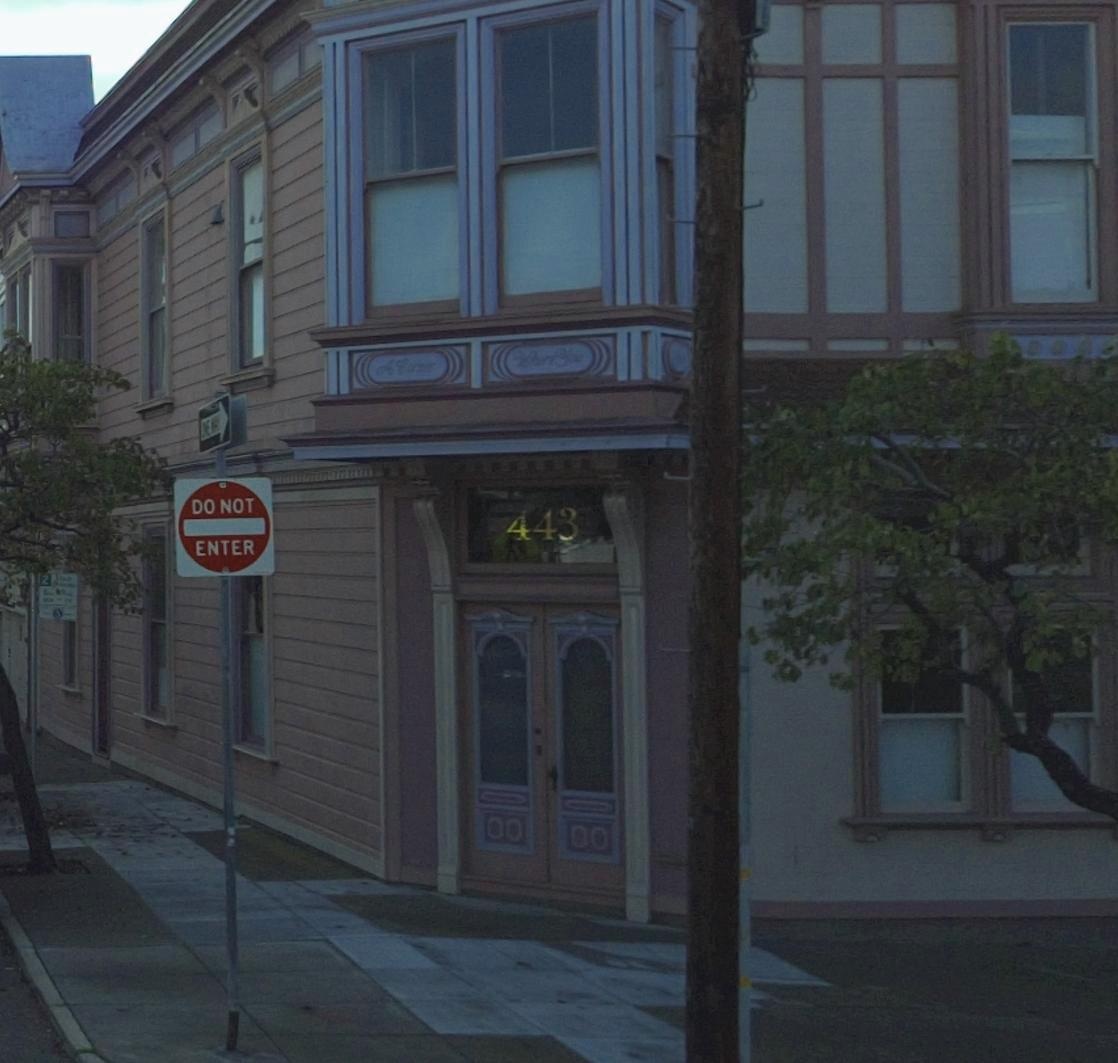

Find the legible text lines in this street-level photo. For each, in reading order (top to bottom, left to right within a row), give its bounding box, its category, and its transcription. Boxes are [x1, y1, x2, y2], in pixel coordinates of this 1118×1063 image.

[190, 496, 258, 516] None: DO NOT
[504, 505, 581, 542] StreetNumber: 443
[191, 539, 256, 558] None: ENTER
[41, 575, 49, 585] None: 2